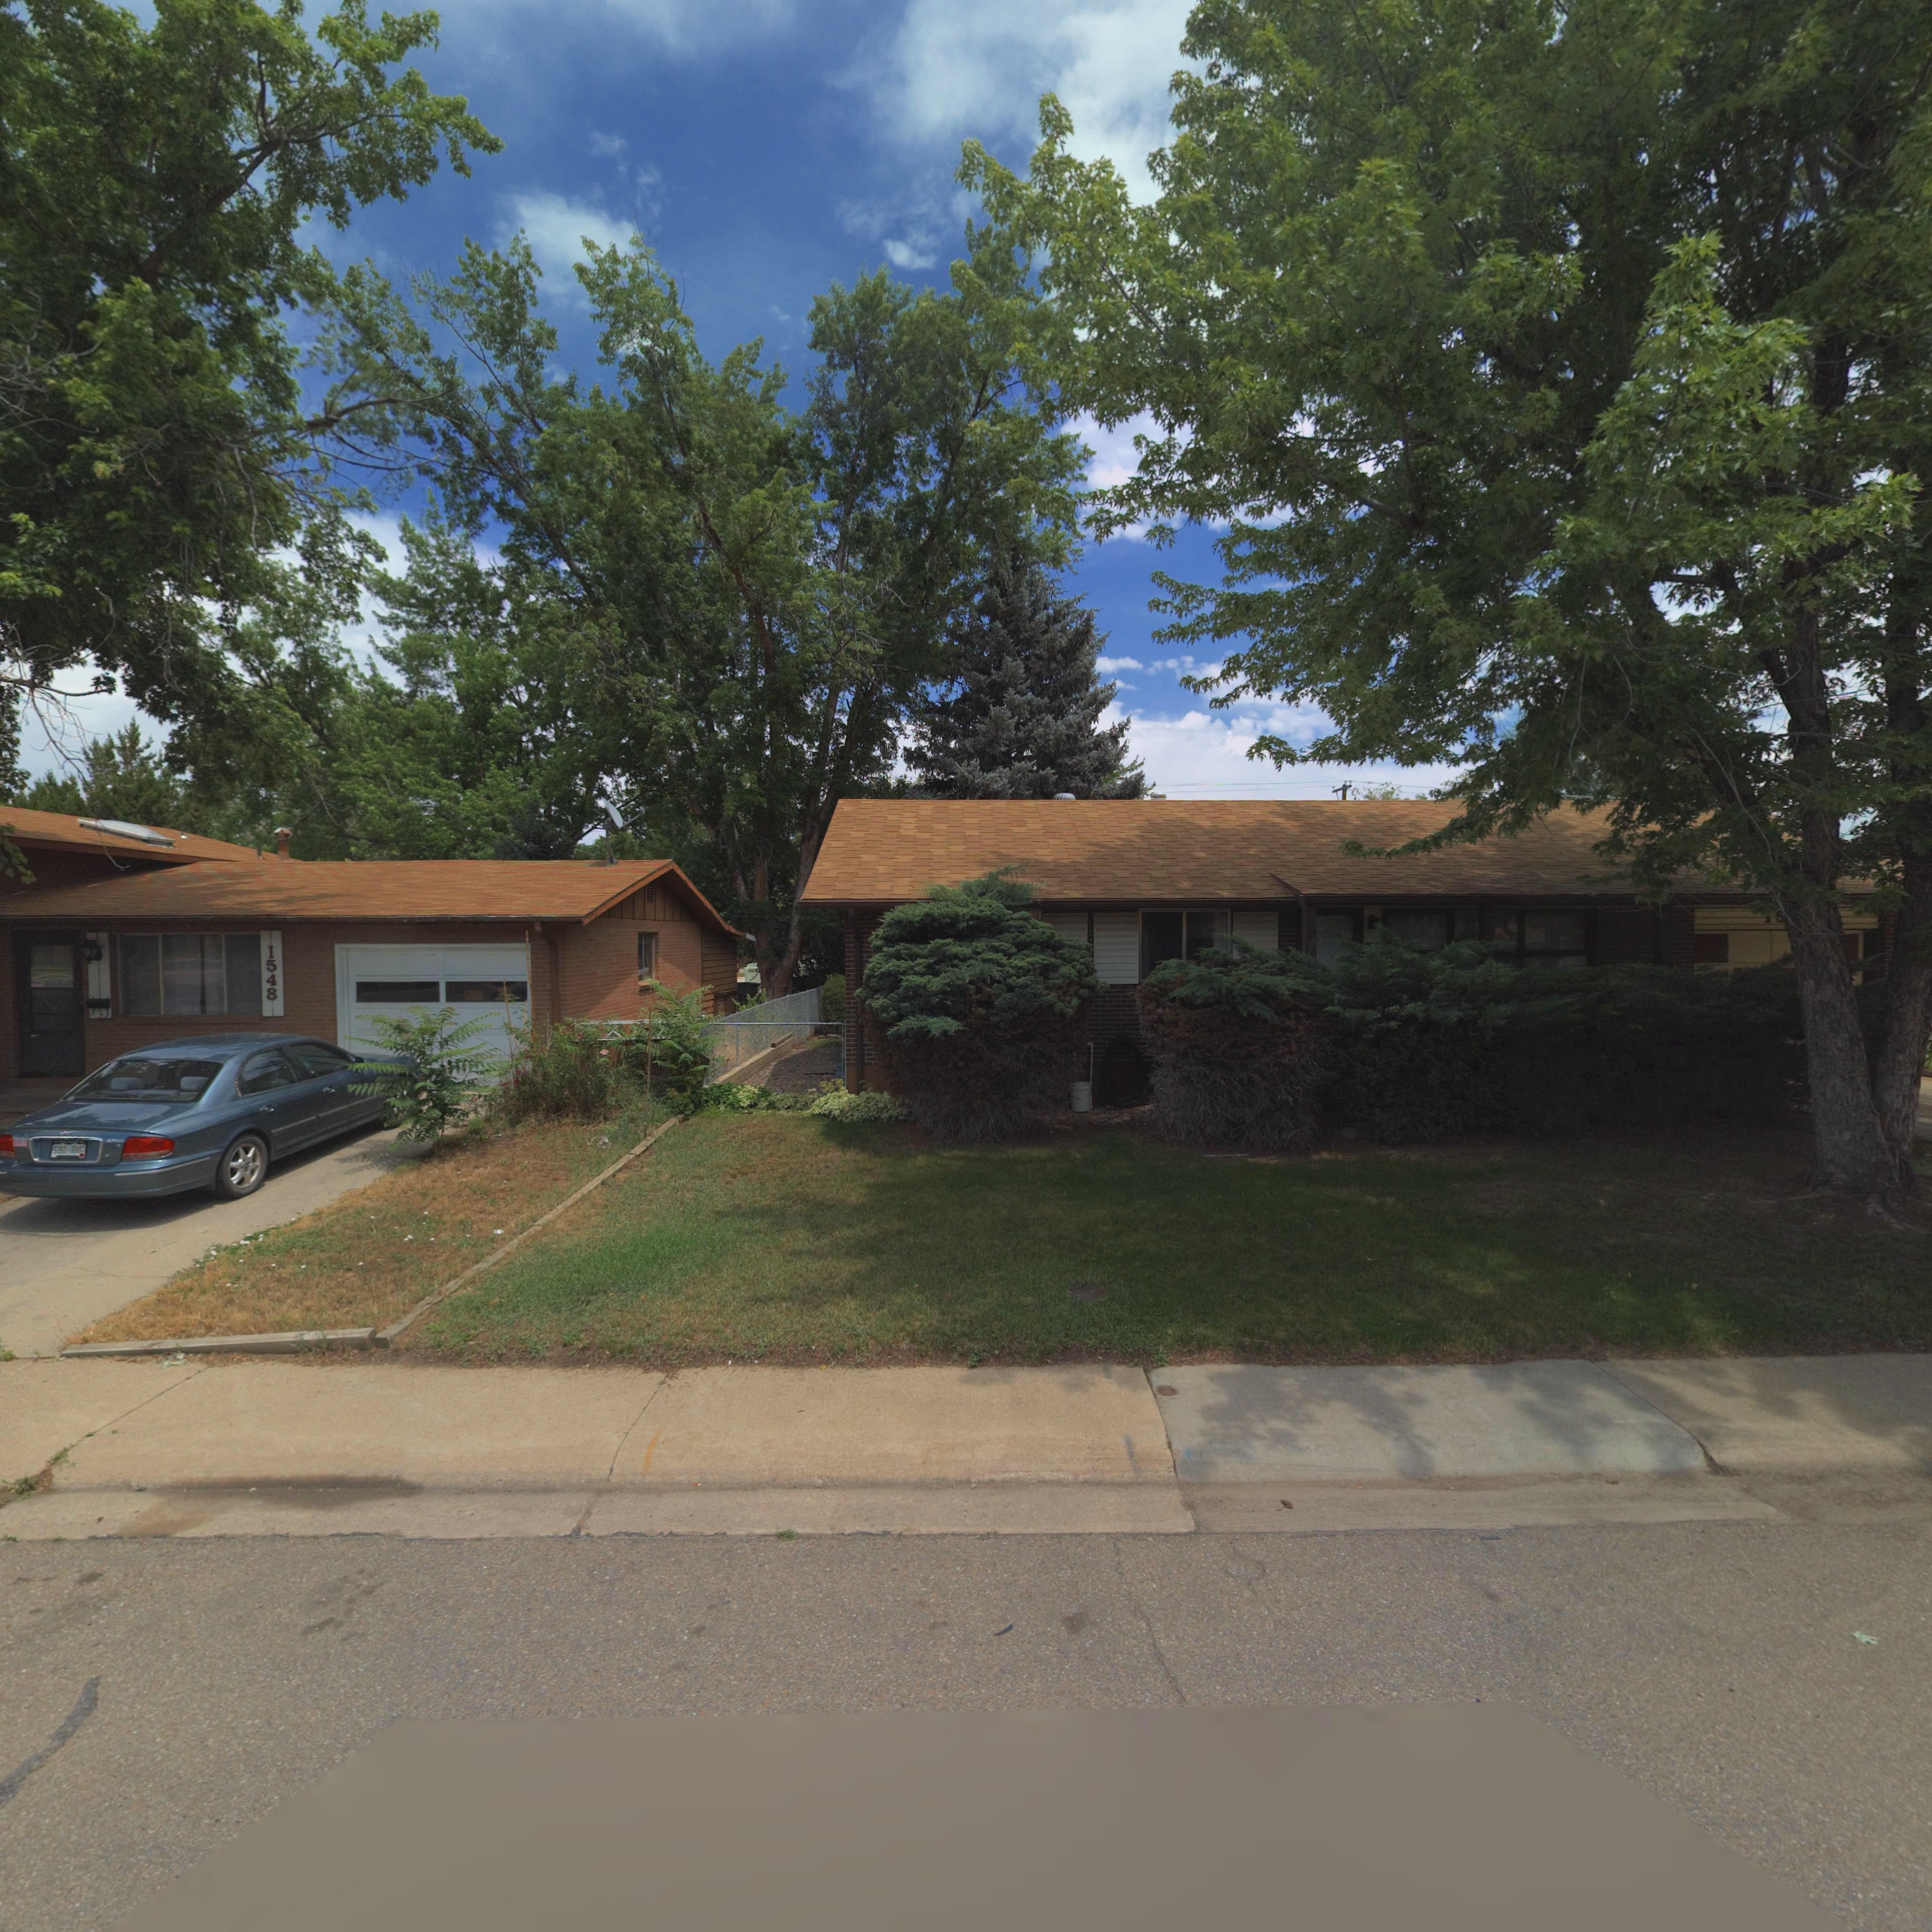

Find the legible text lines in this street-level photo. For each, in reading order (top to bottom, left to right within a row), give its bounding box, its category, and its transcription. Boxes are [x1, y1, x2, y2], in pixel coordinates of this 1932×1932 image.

[263, 944, 278, 1001] StreetNumber: 1548